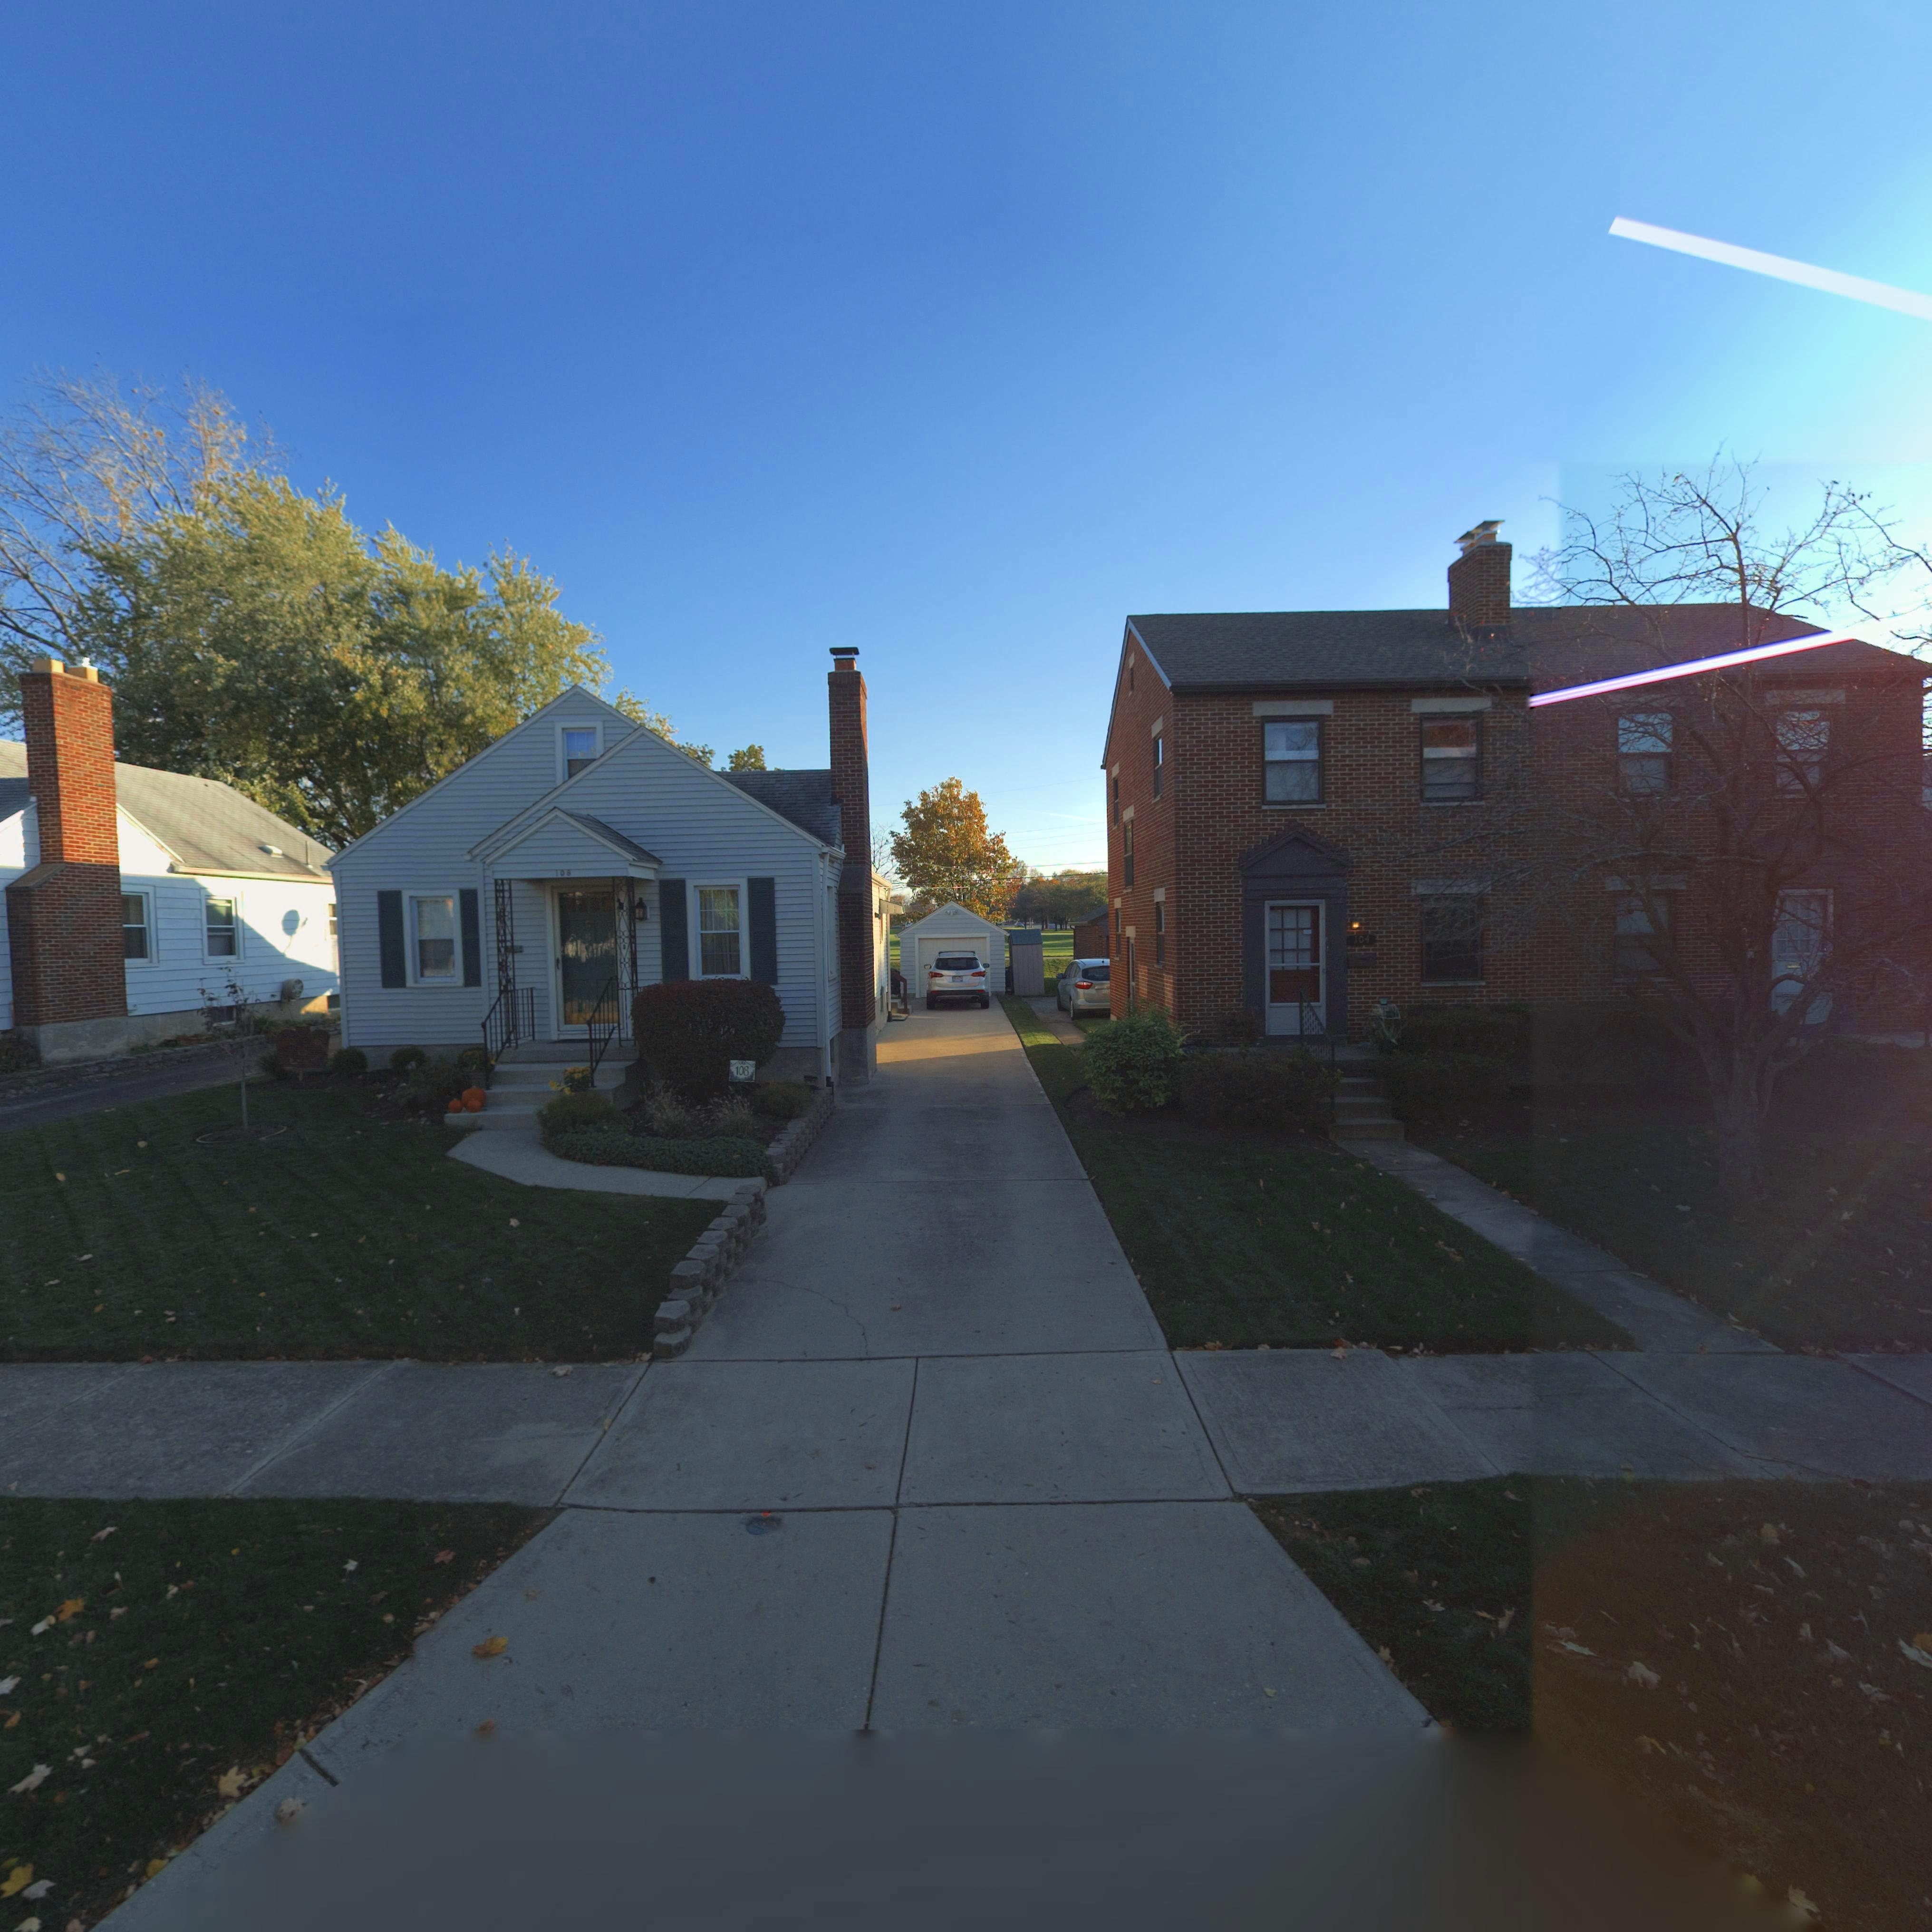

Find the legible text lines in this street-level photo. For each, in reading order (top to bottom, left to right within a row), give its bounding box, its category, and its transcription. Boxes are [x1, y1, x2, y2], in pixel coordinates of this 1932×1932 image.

[555, 869, 571, 877] StreetNumber: 108
[1353, 935, 1371, 944] StreetNumber: 104
[734, 1065, 750, 1076] StreetNumber: 108